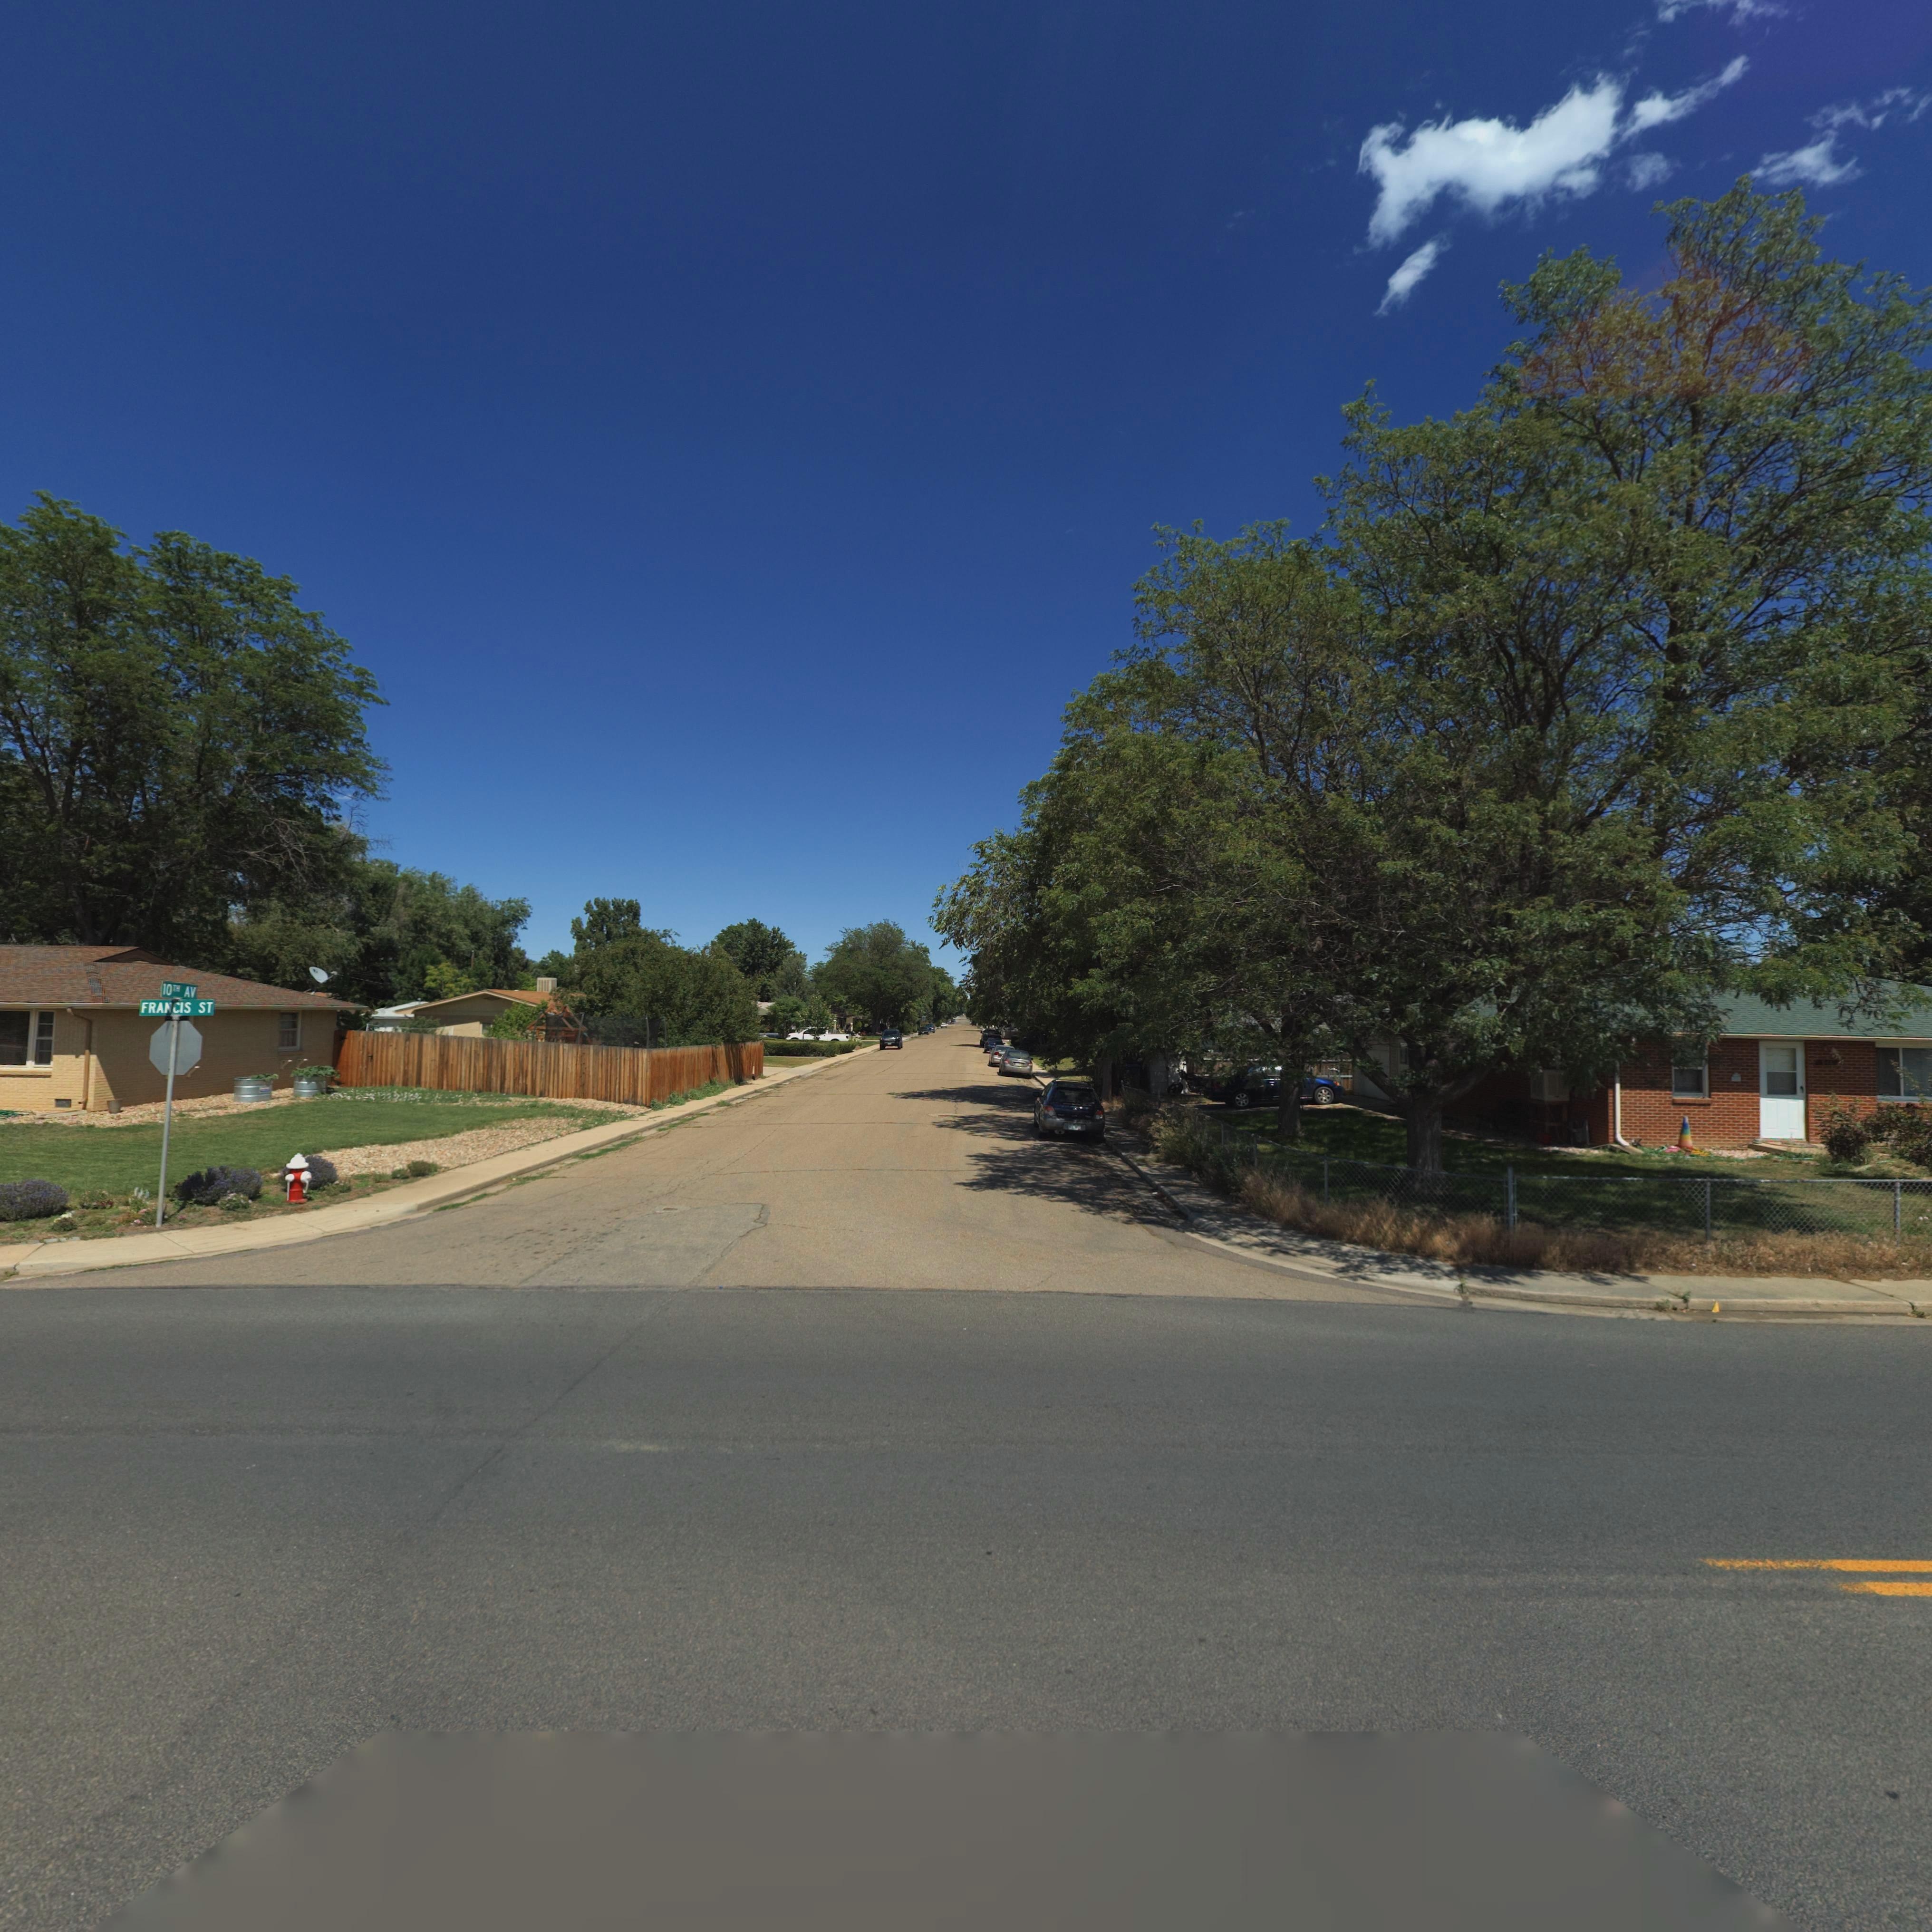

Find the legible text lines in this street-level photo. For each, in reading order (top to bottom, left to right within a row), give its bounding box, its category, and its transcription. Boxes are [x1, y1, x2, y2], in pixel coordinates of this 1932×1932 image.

[162, 983, 196, 998] StreetName: 10TH AV
[140, 1001, 213, 1014] StreetName: FRANCIS ST
[1828, 1044, 1846, 1068] StreetNumber: *04